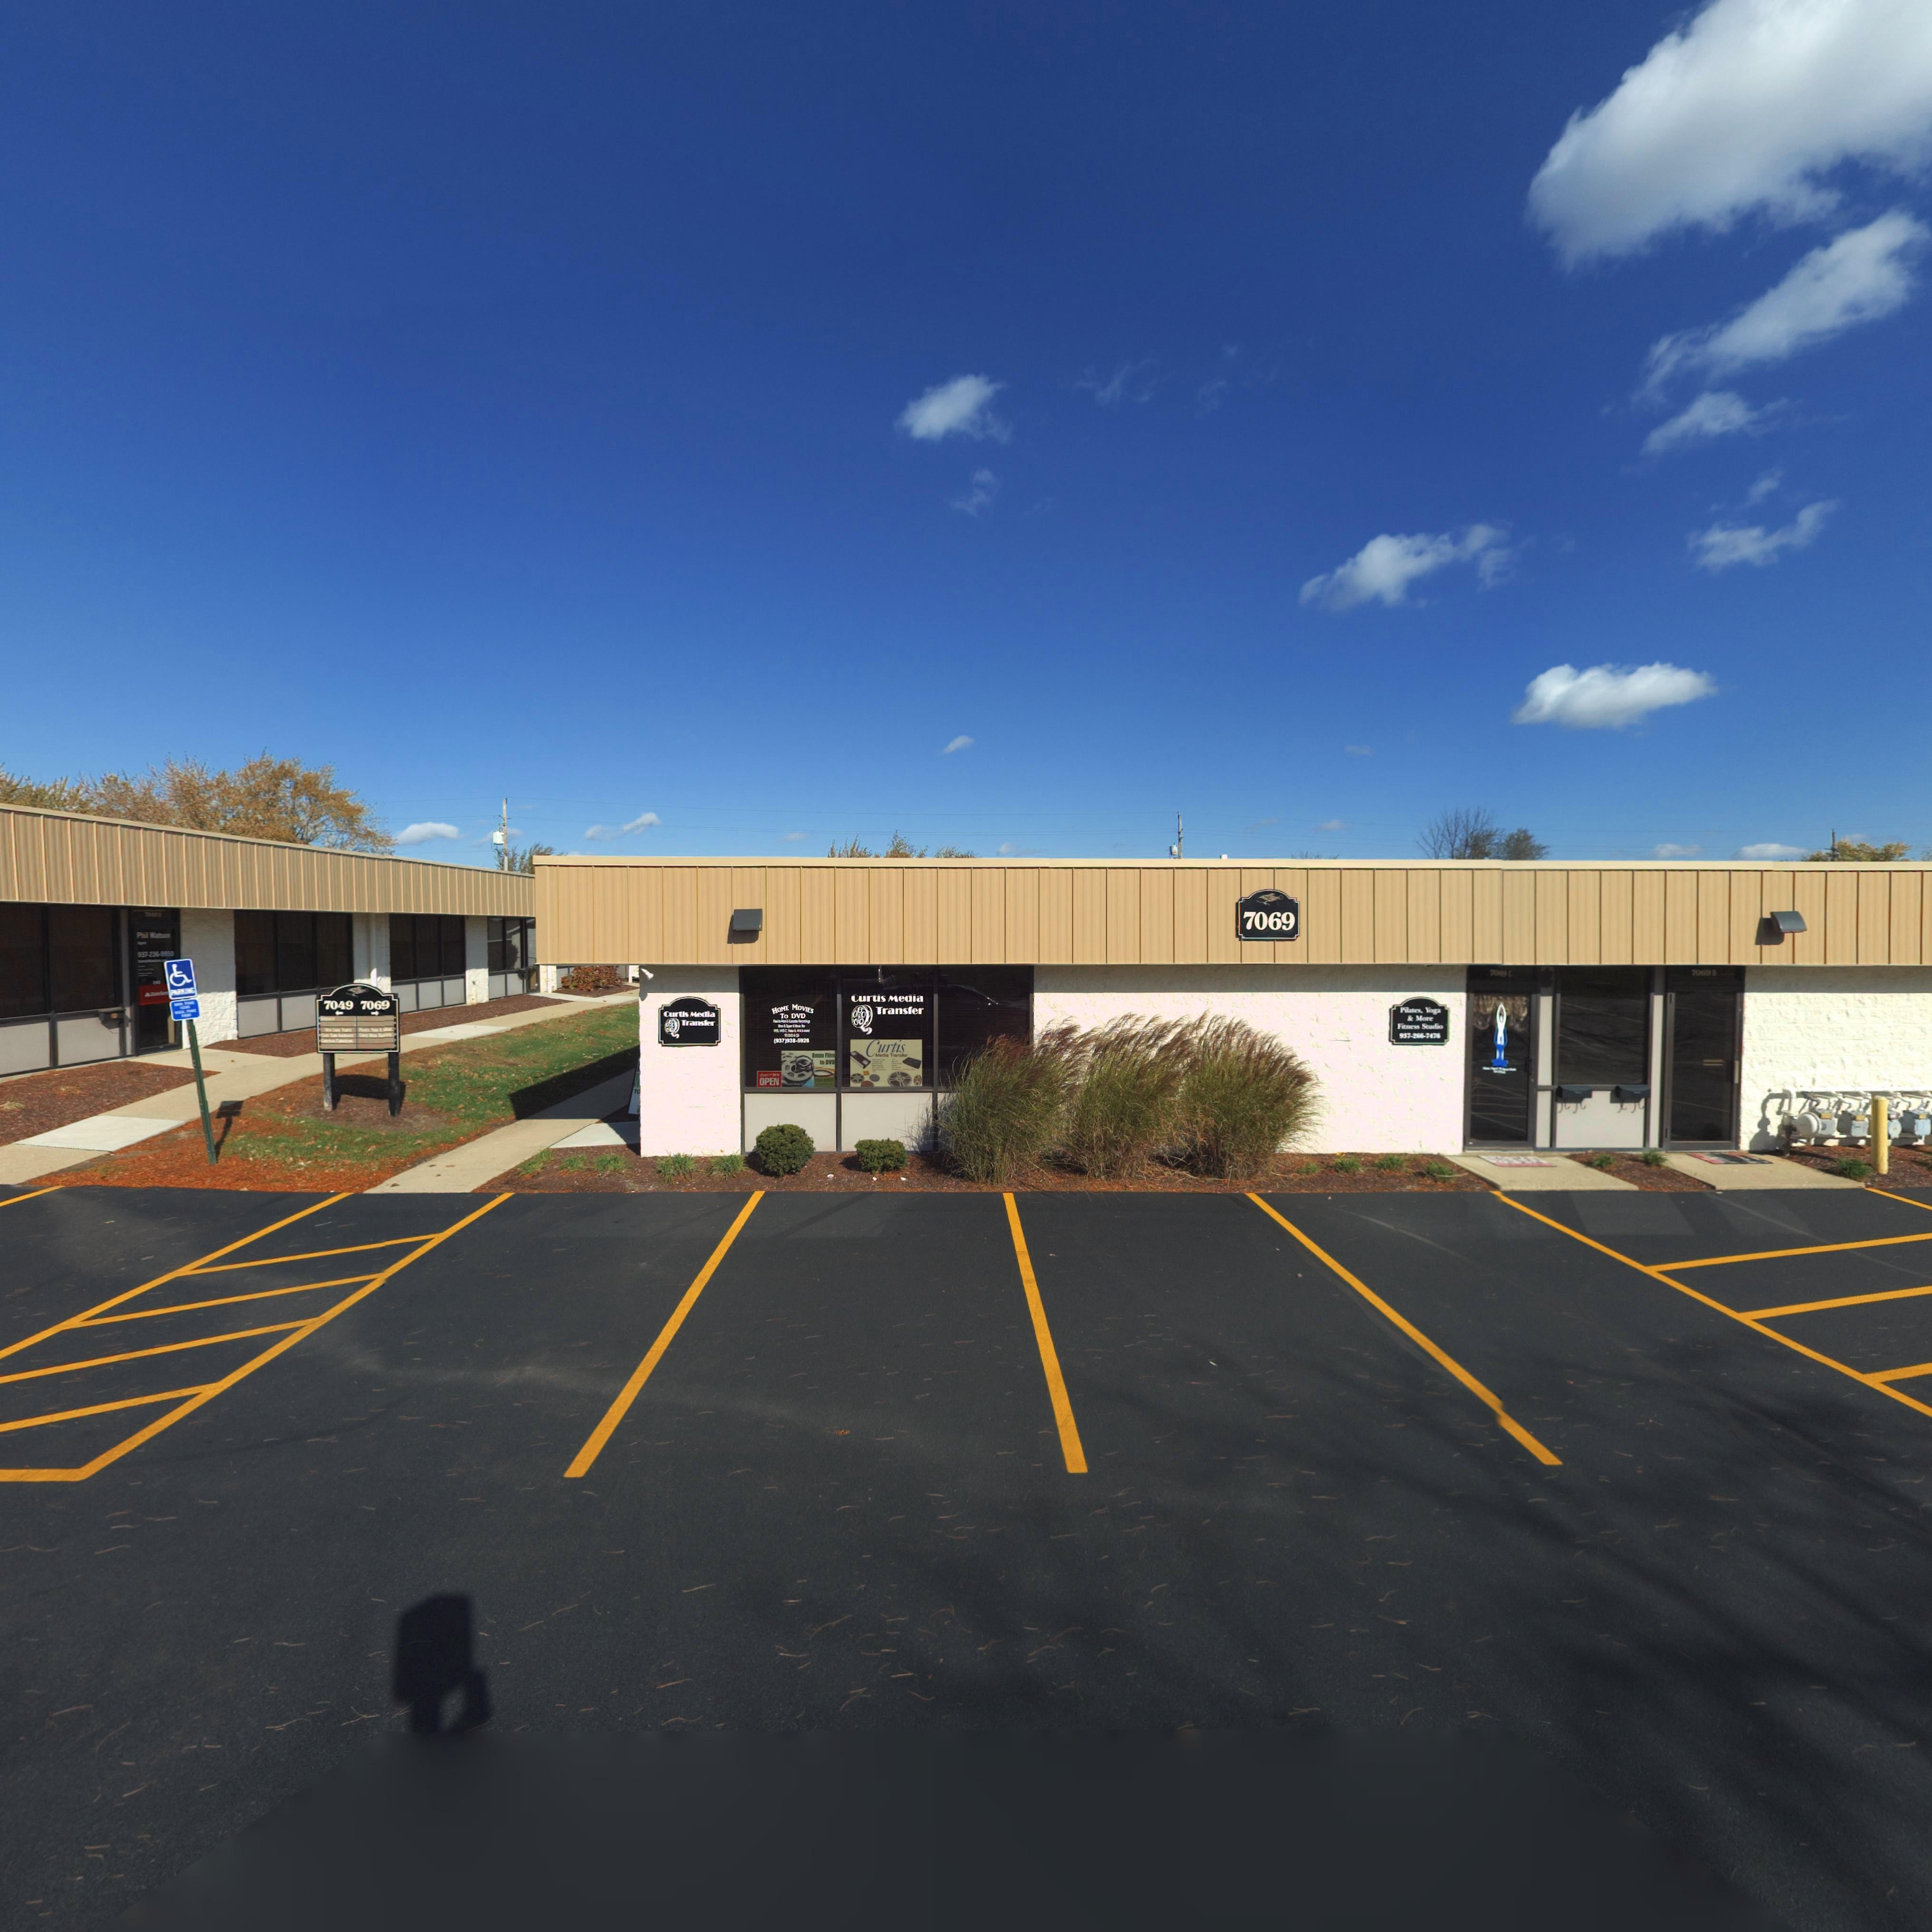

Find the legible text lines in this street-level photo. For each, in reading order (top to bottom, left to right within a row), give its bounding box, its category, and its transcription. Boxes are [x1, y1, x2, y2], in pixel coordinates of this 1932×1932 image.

[1240, 909, 1298, 932] StreetNumber: 7069
[1489, 968, 1515, 979] StreetNumber: 70** C
[1689, 967, 1719, 978] StreetNumber: 7069 B
[322, 999, 356, 1011] StreetNumber: 7049
[359, 999, 392, 1012] StreetNumber: 706*